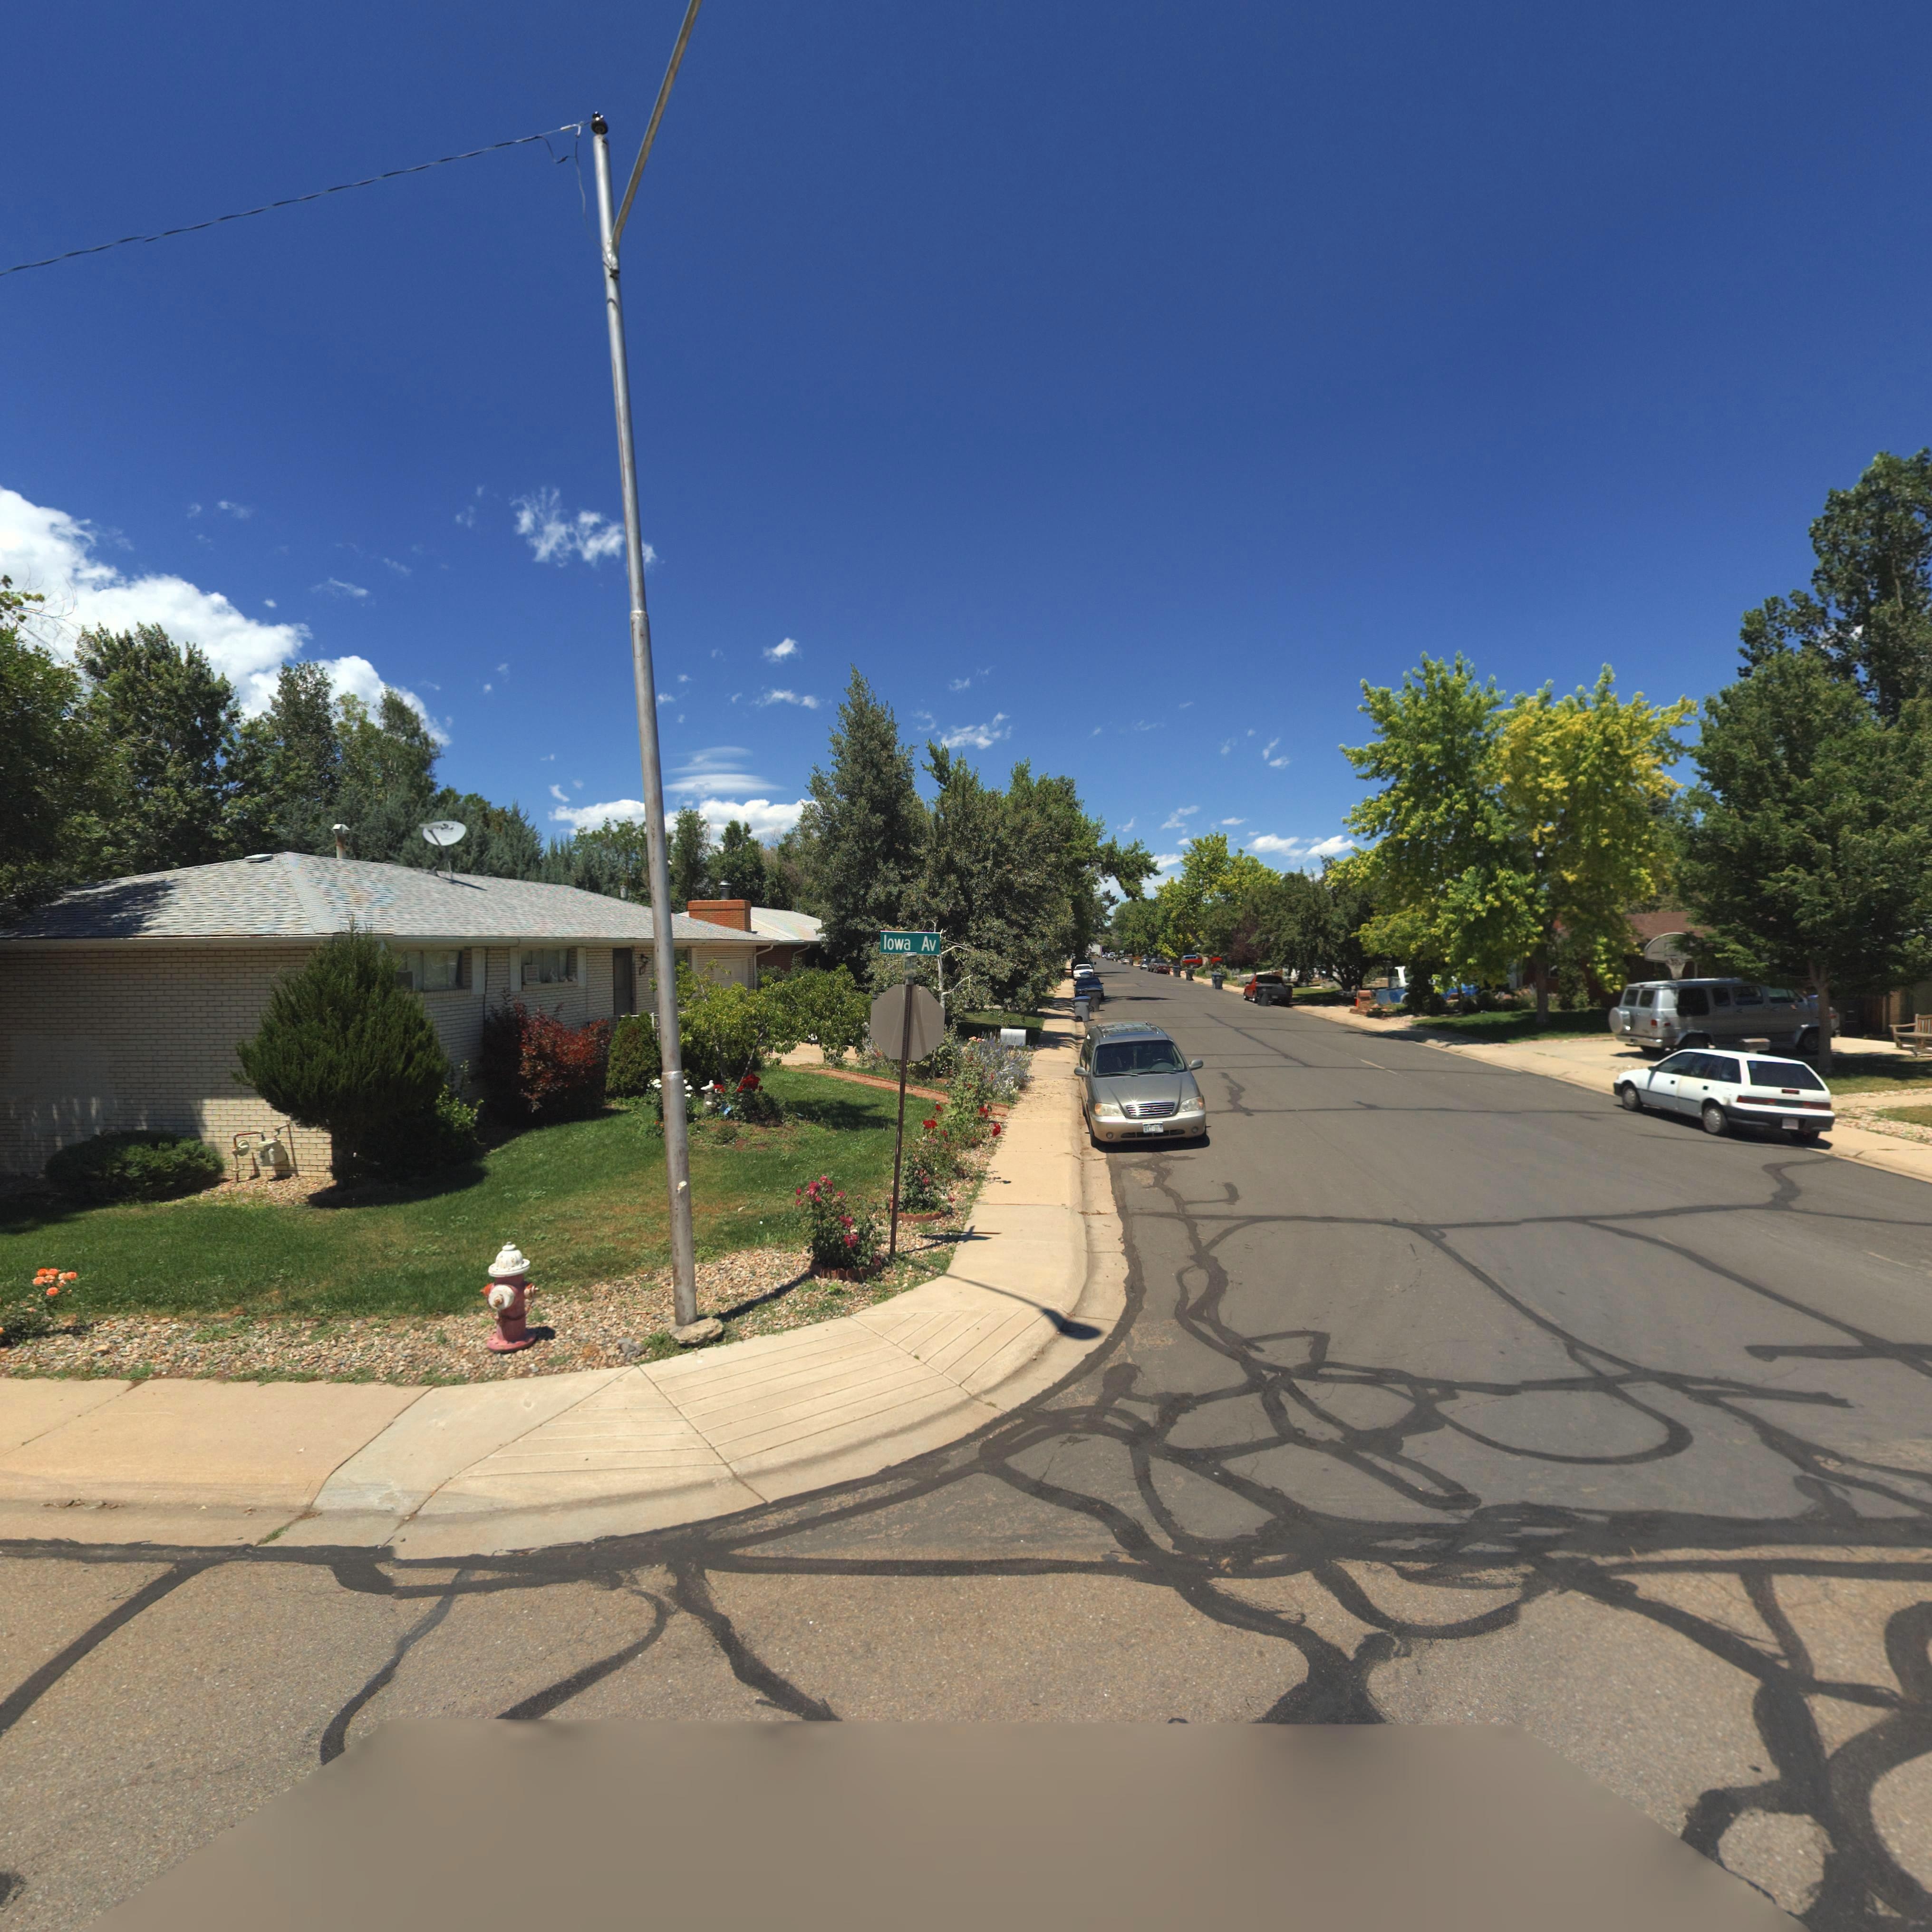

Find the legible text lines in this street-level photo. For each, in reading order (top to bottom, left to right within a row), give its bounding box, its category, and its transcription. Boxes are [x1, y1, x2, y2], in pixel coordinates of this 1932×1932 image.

[883, 934, 937, 951] StreetName: Iowa Av